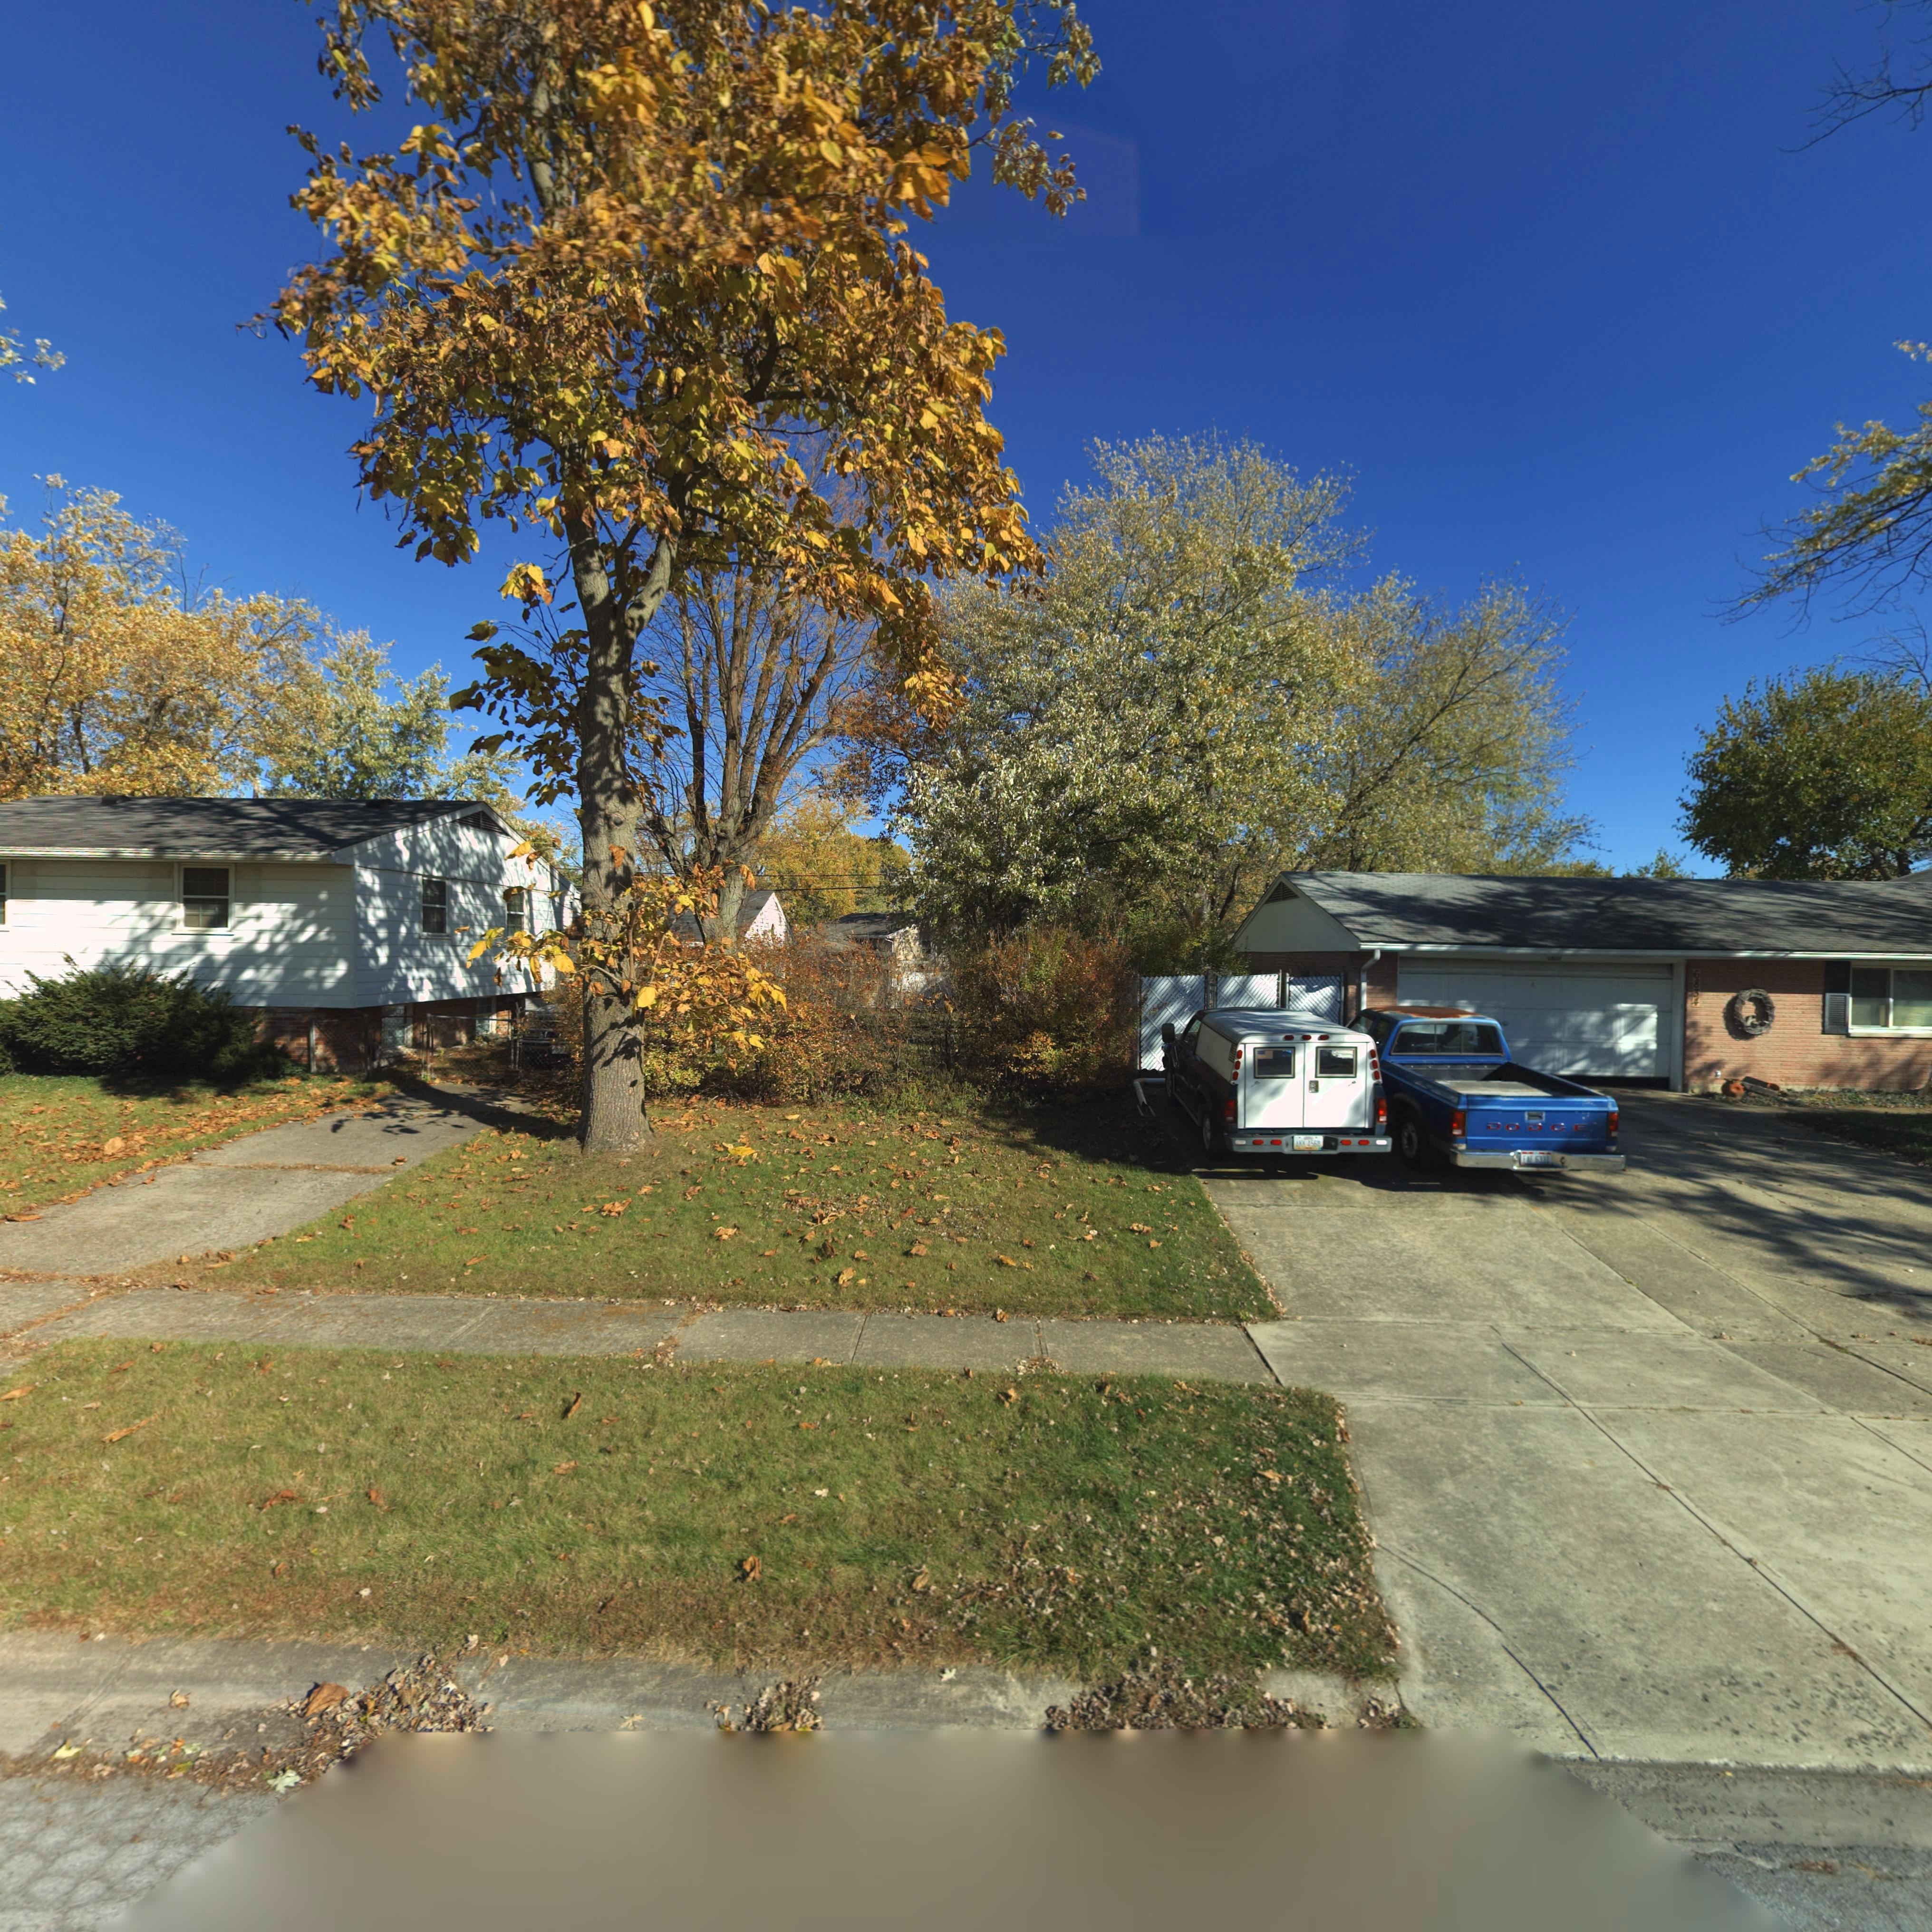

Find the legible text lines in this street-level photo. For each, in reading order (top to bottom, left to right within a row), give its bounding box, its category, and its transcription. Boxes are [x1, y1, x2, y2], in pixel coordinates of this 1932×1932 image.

[1691, 969, 1700, 1007] StreetNumber: 6834
[1486, 1121, 1589, 1133] None: DODGE
[1306, 1140, 1321, 1148] None: 4568
[1534, 1155, 1550, 1164] None: 6331